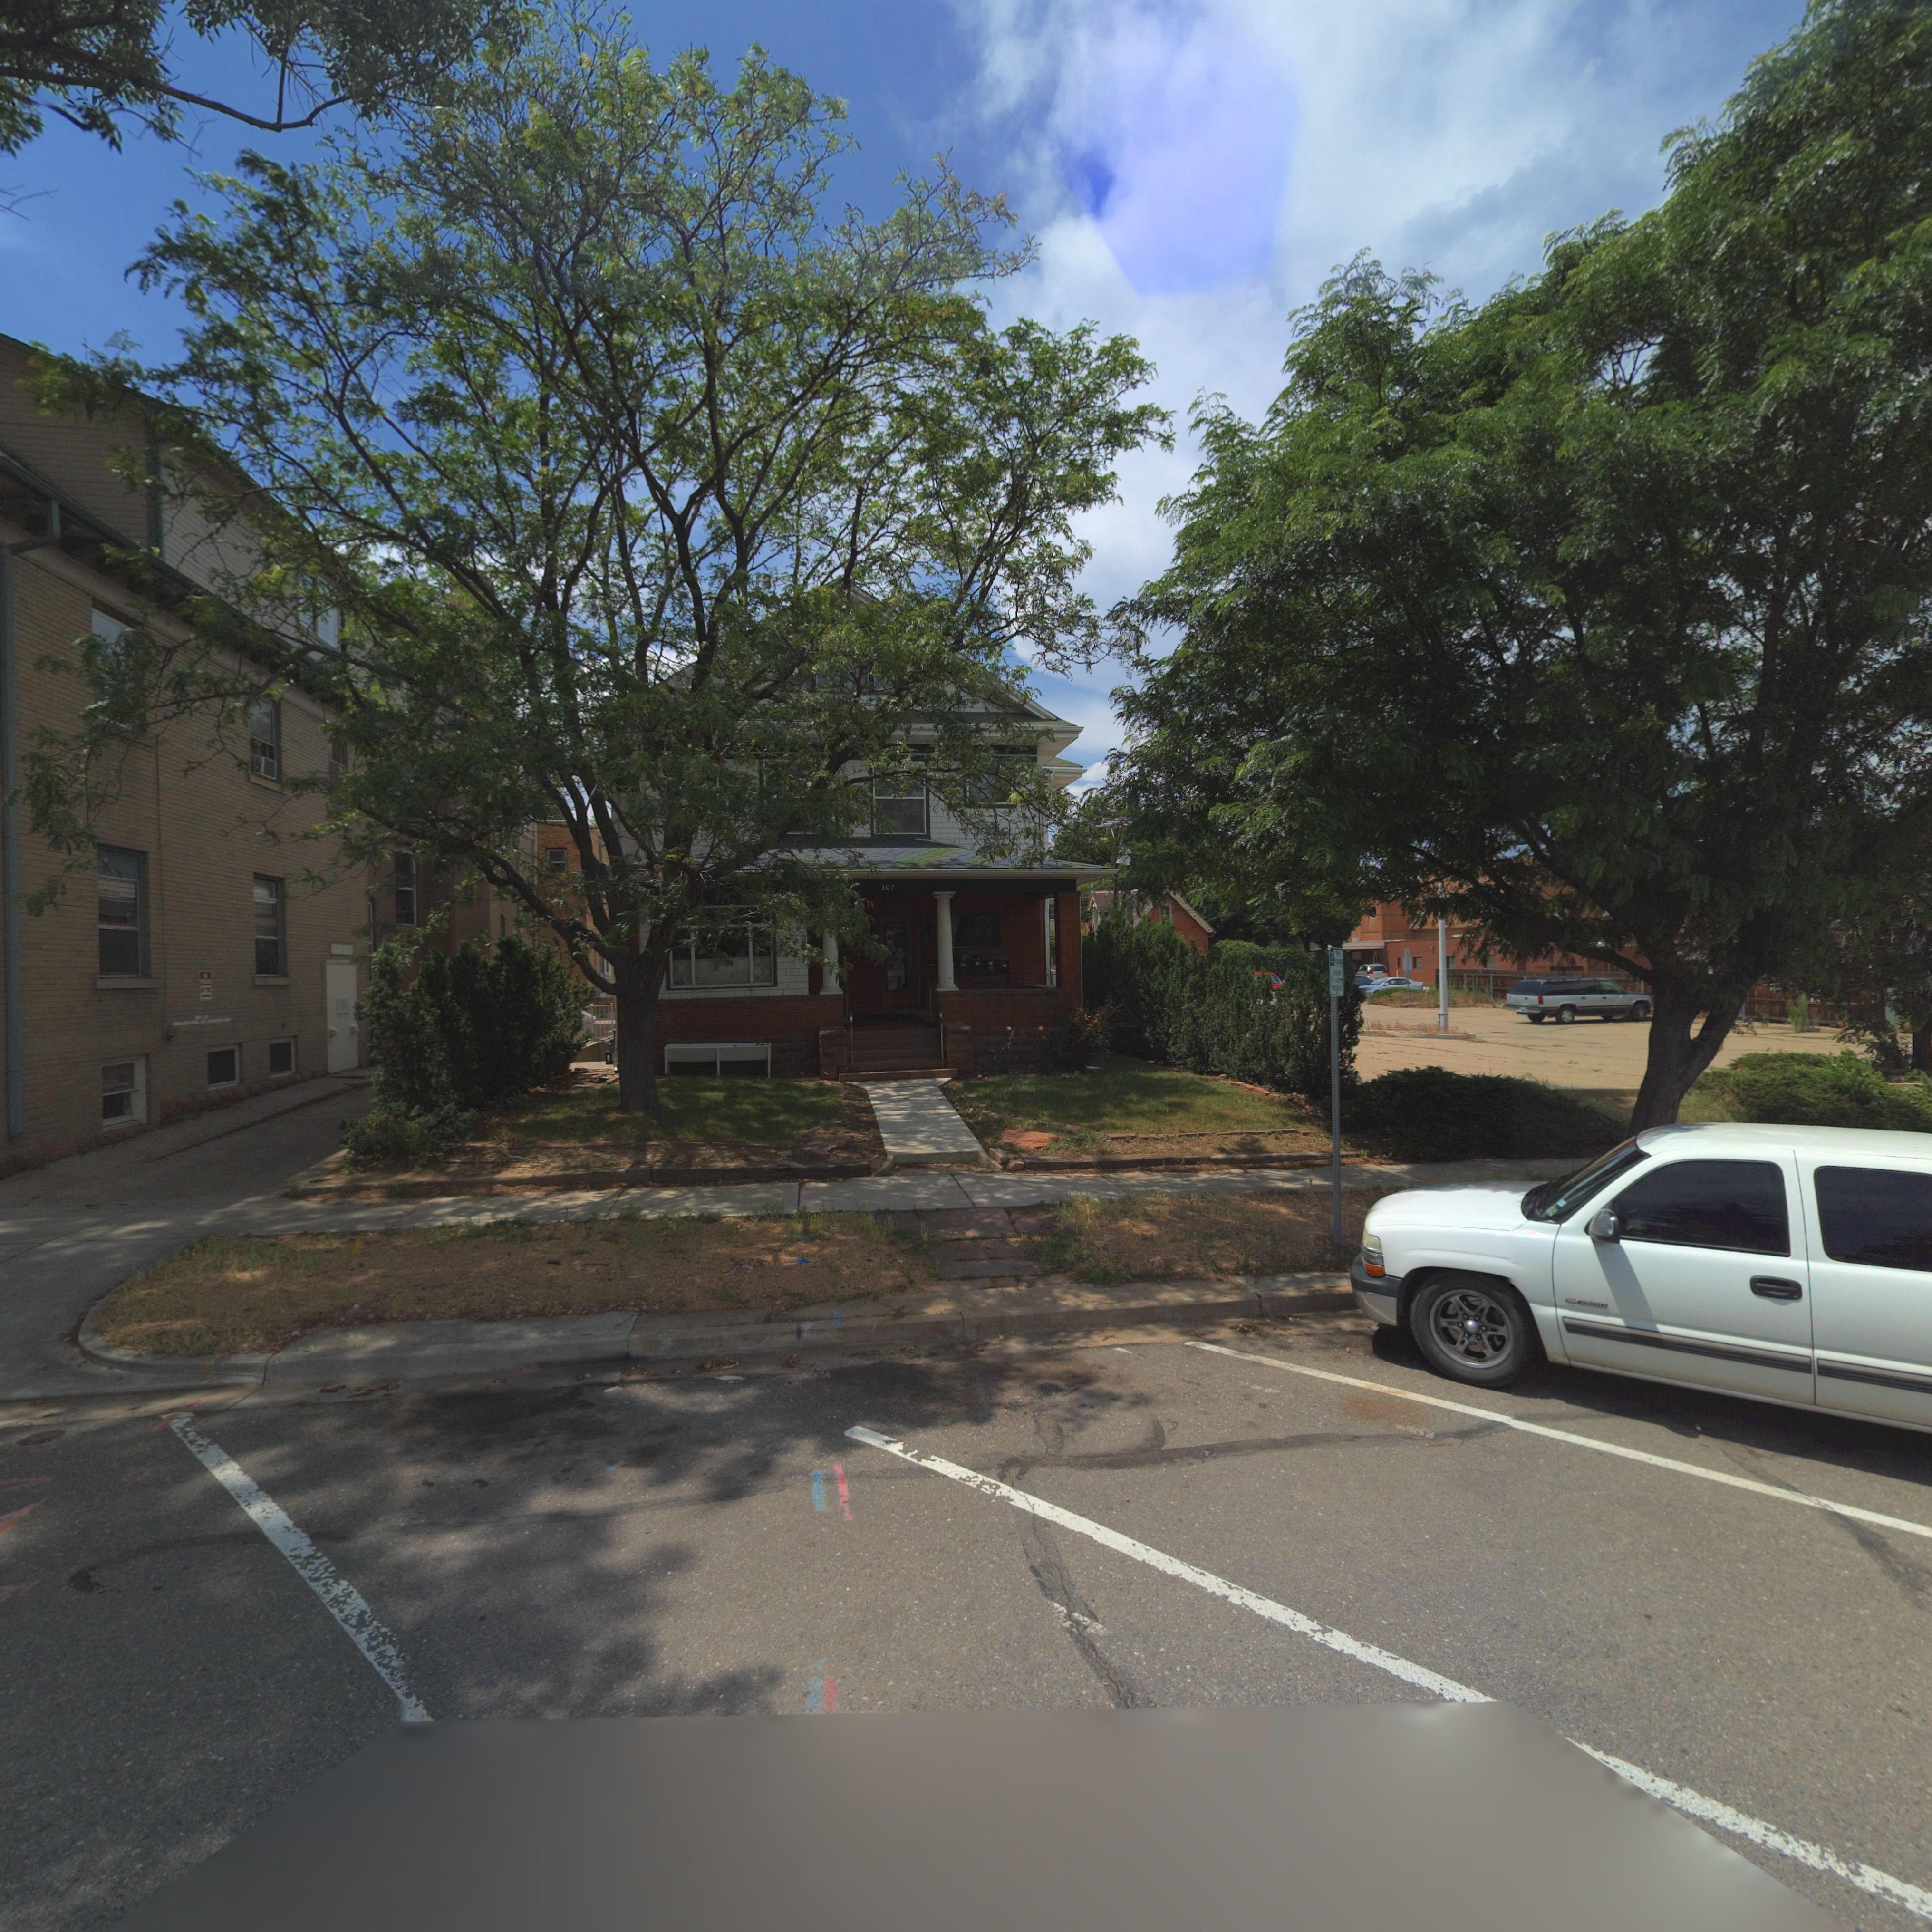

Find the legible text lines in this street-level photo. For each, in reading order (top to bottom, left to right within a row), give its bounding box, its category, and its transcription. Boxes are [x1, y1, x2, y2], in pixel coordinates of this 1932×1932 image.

[880, 884, 896, 890] StreetNumber: 307